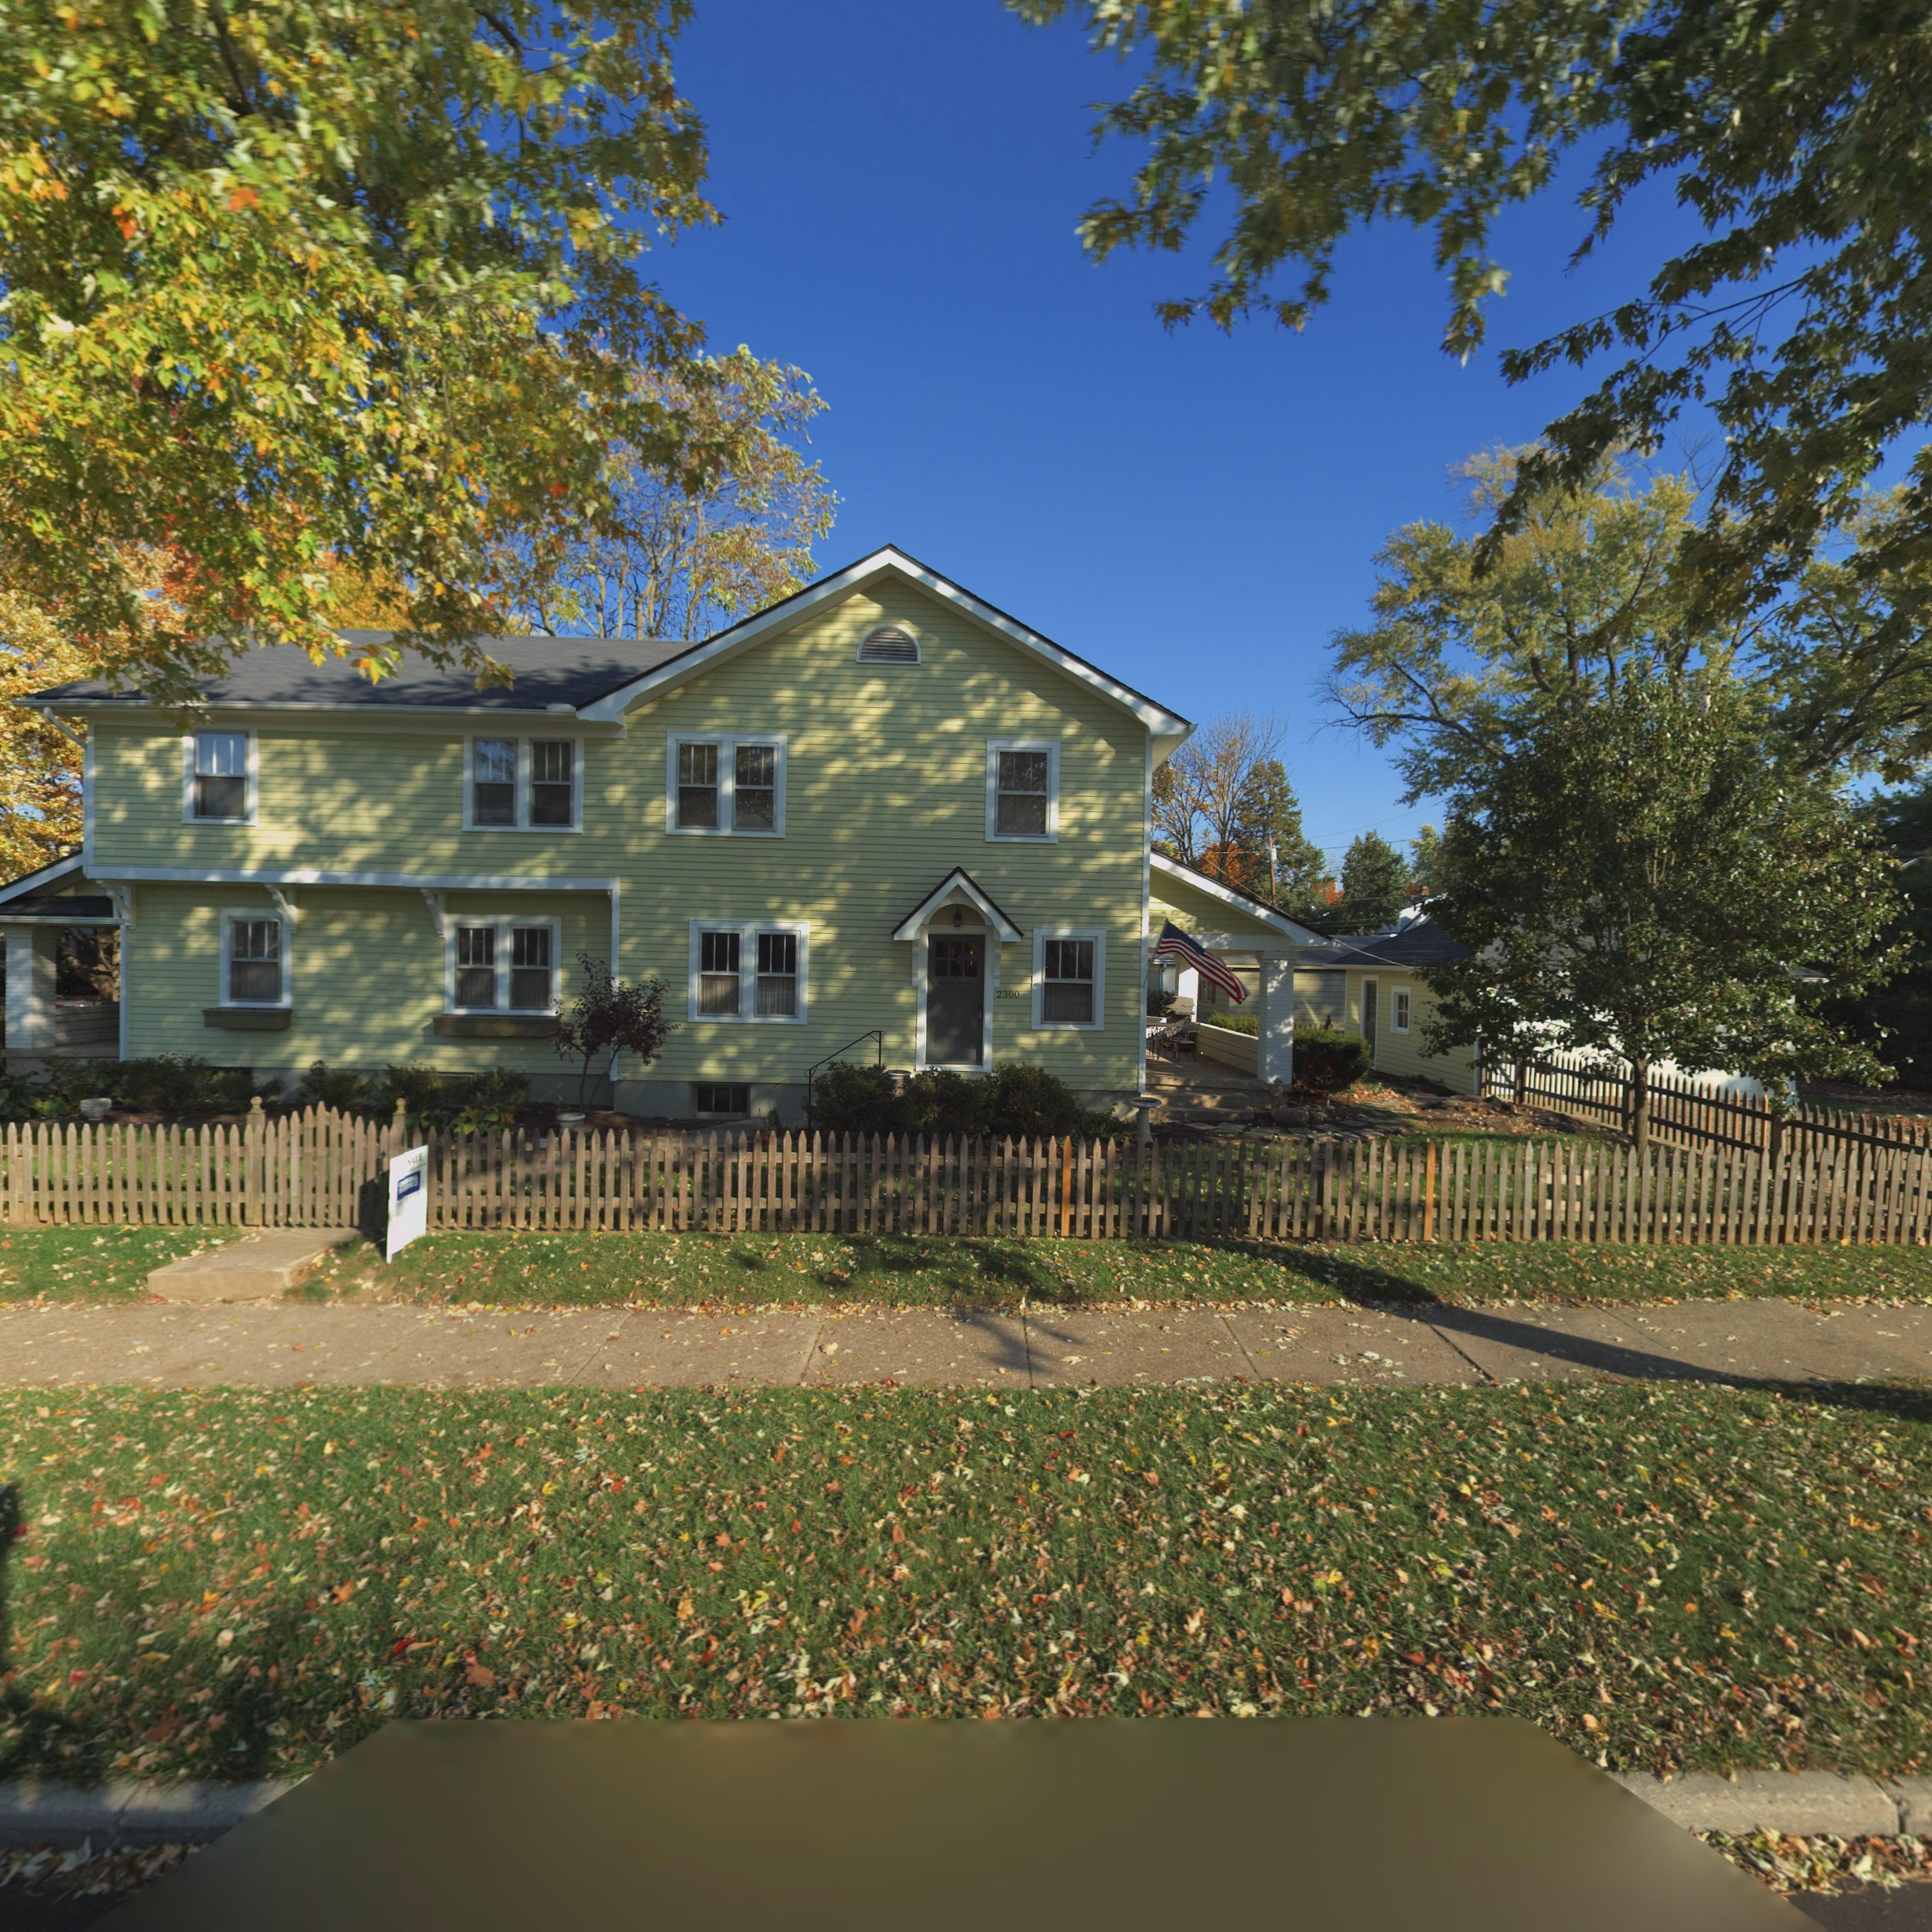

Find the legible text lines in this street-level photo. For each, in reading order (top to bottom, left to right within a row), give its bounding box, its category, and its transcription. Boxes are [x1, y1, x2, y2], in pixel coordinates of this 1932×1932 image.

[995, 989, 1021, 1000] StreetNumber: 2300